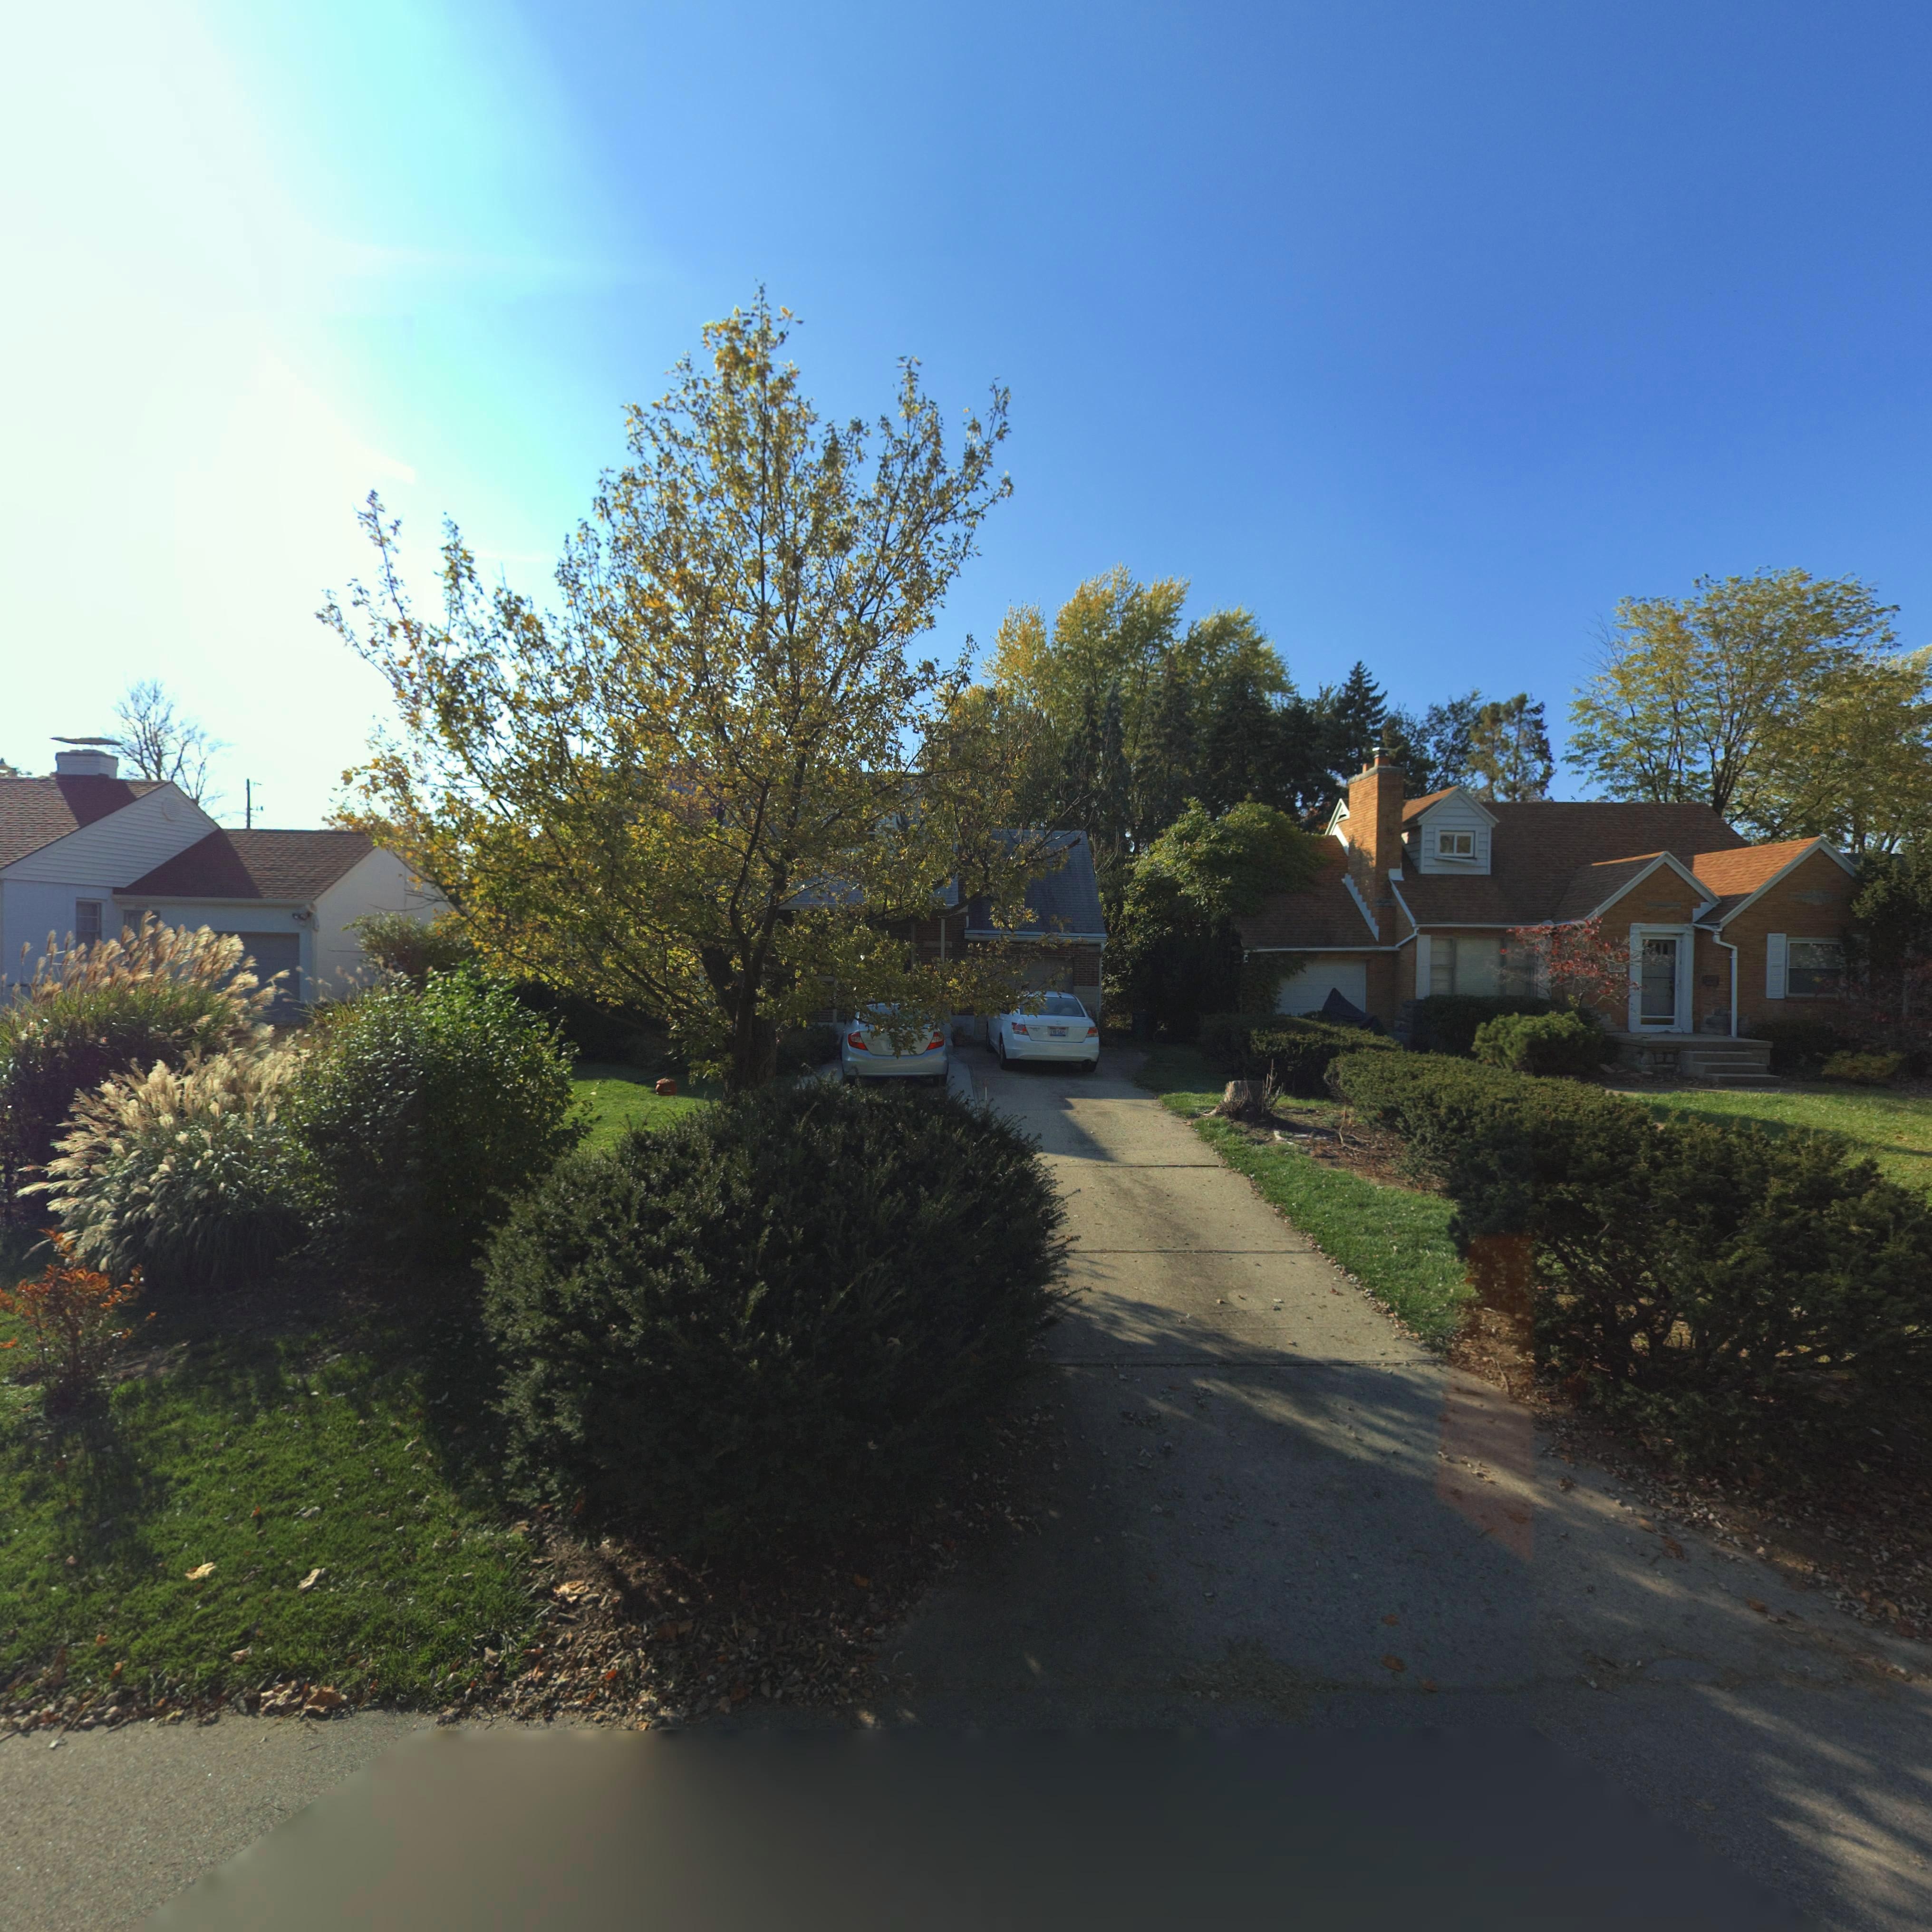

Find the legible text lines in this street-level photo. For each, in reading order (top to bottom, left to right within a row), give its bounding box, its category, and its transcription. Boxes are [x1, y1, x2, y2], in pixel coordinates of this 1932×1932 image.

[134, 904, 149, 909] StreetNumber: 32**